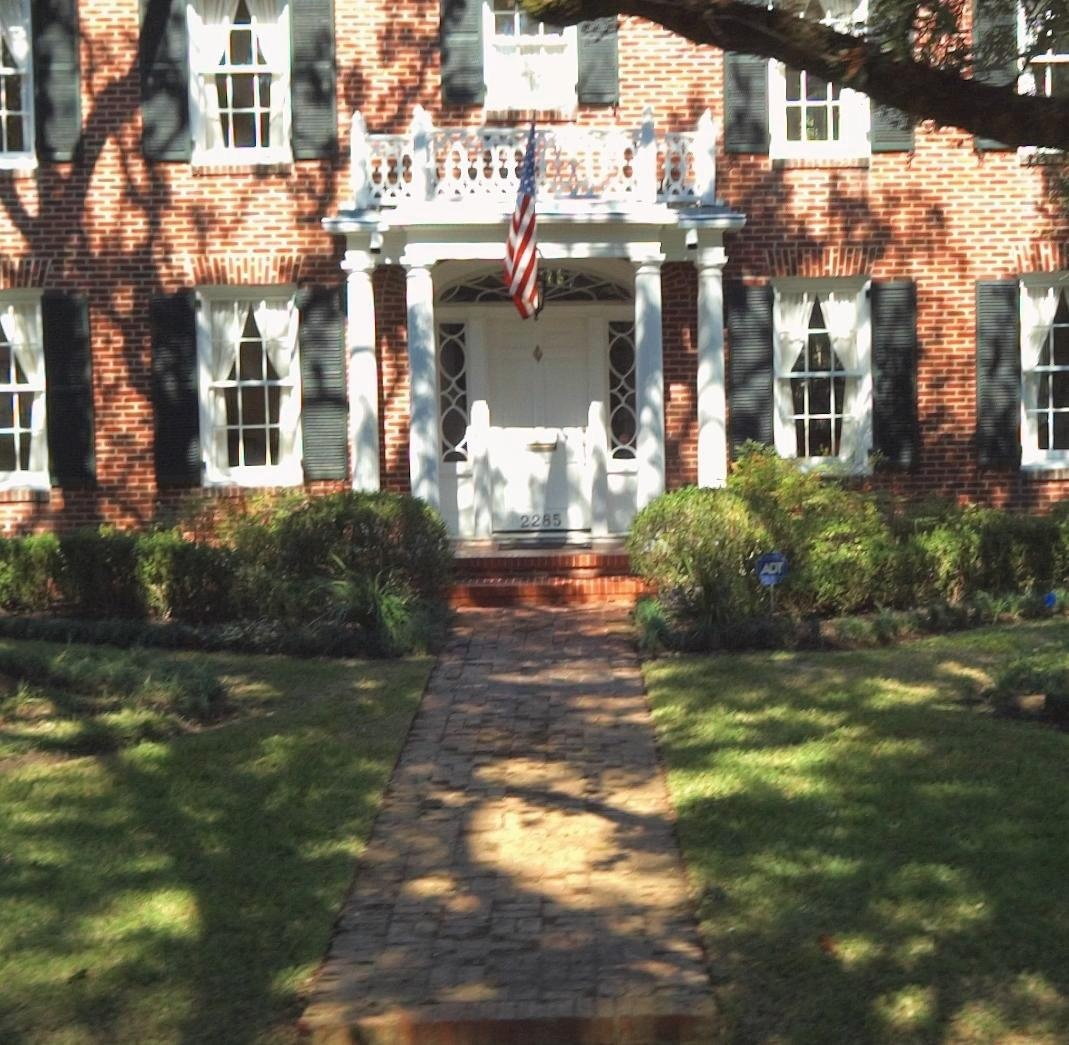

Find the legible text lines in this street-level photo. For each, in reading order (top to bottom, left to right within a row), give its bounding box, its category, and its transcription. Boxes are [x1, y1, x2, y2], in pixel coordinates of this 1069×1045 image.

[518, 511, 563, 530] StreetNumber: 2285
[757, 559, 786, 577] None: ADT